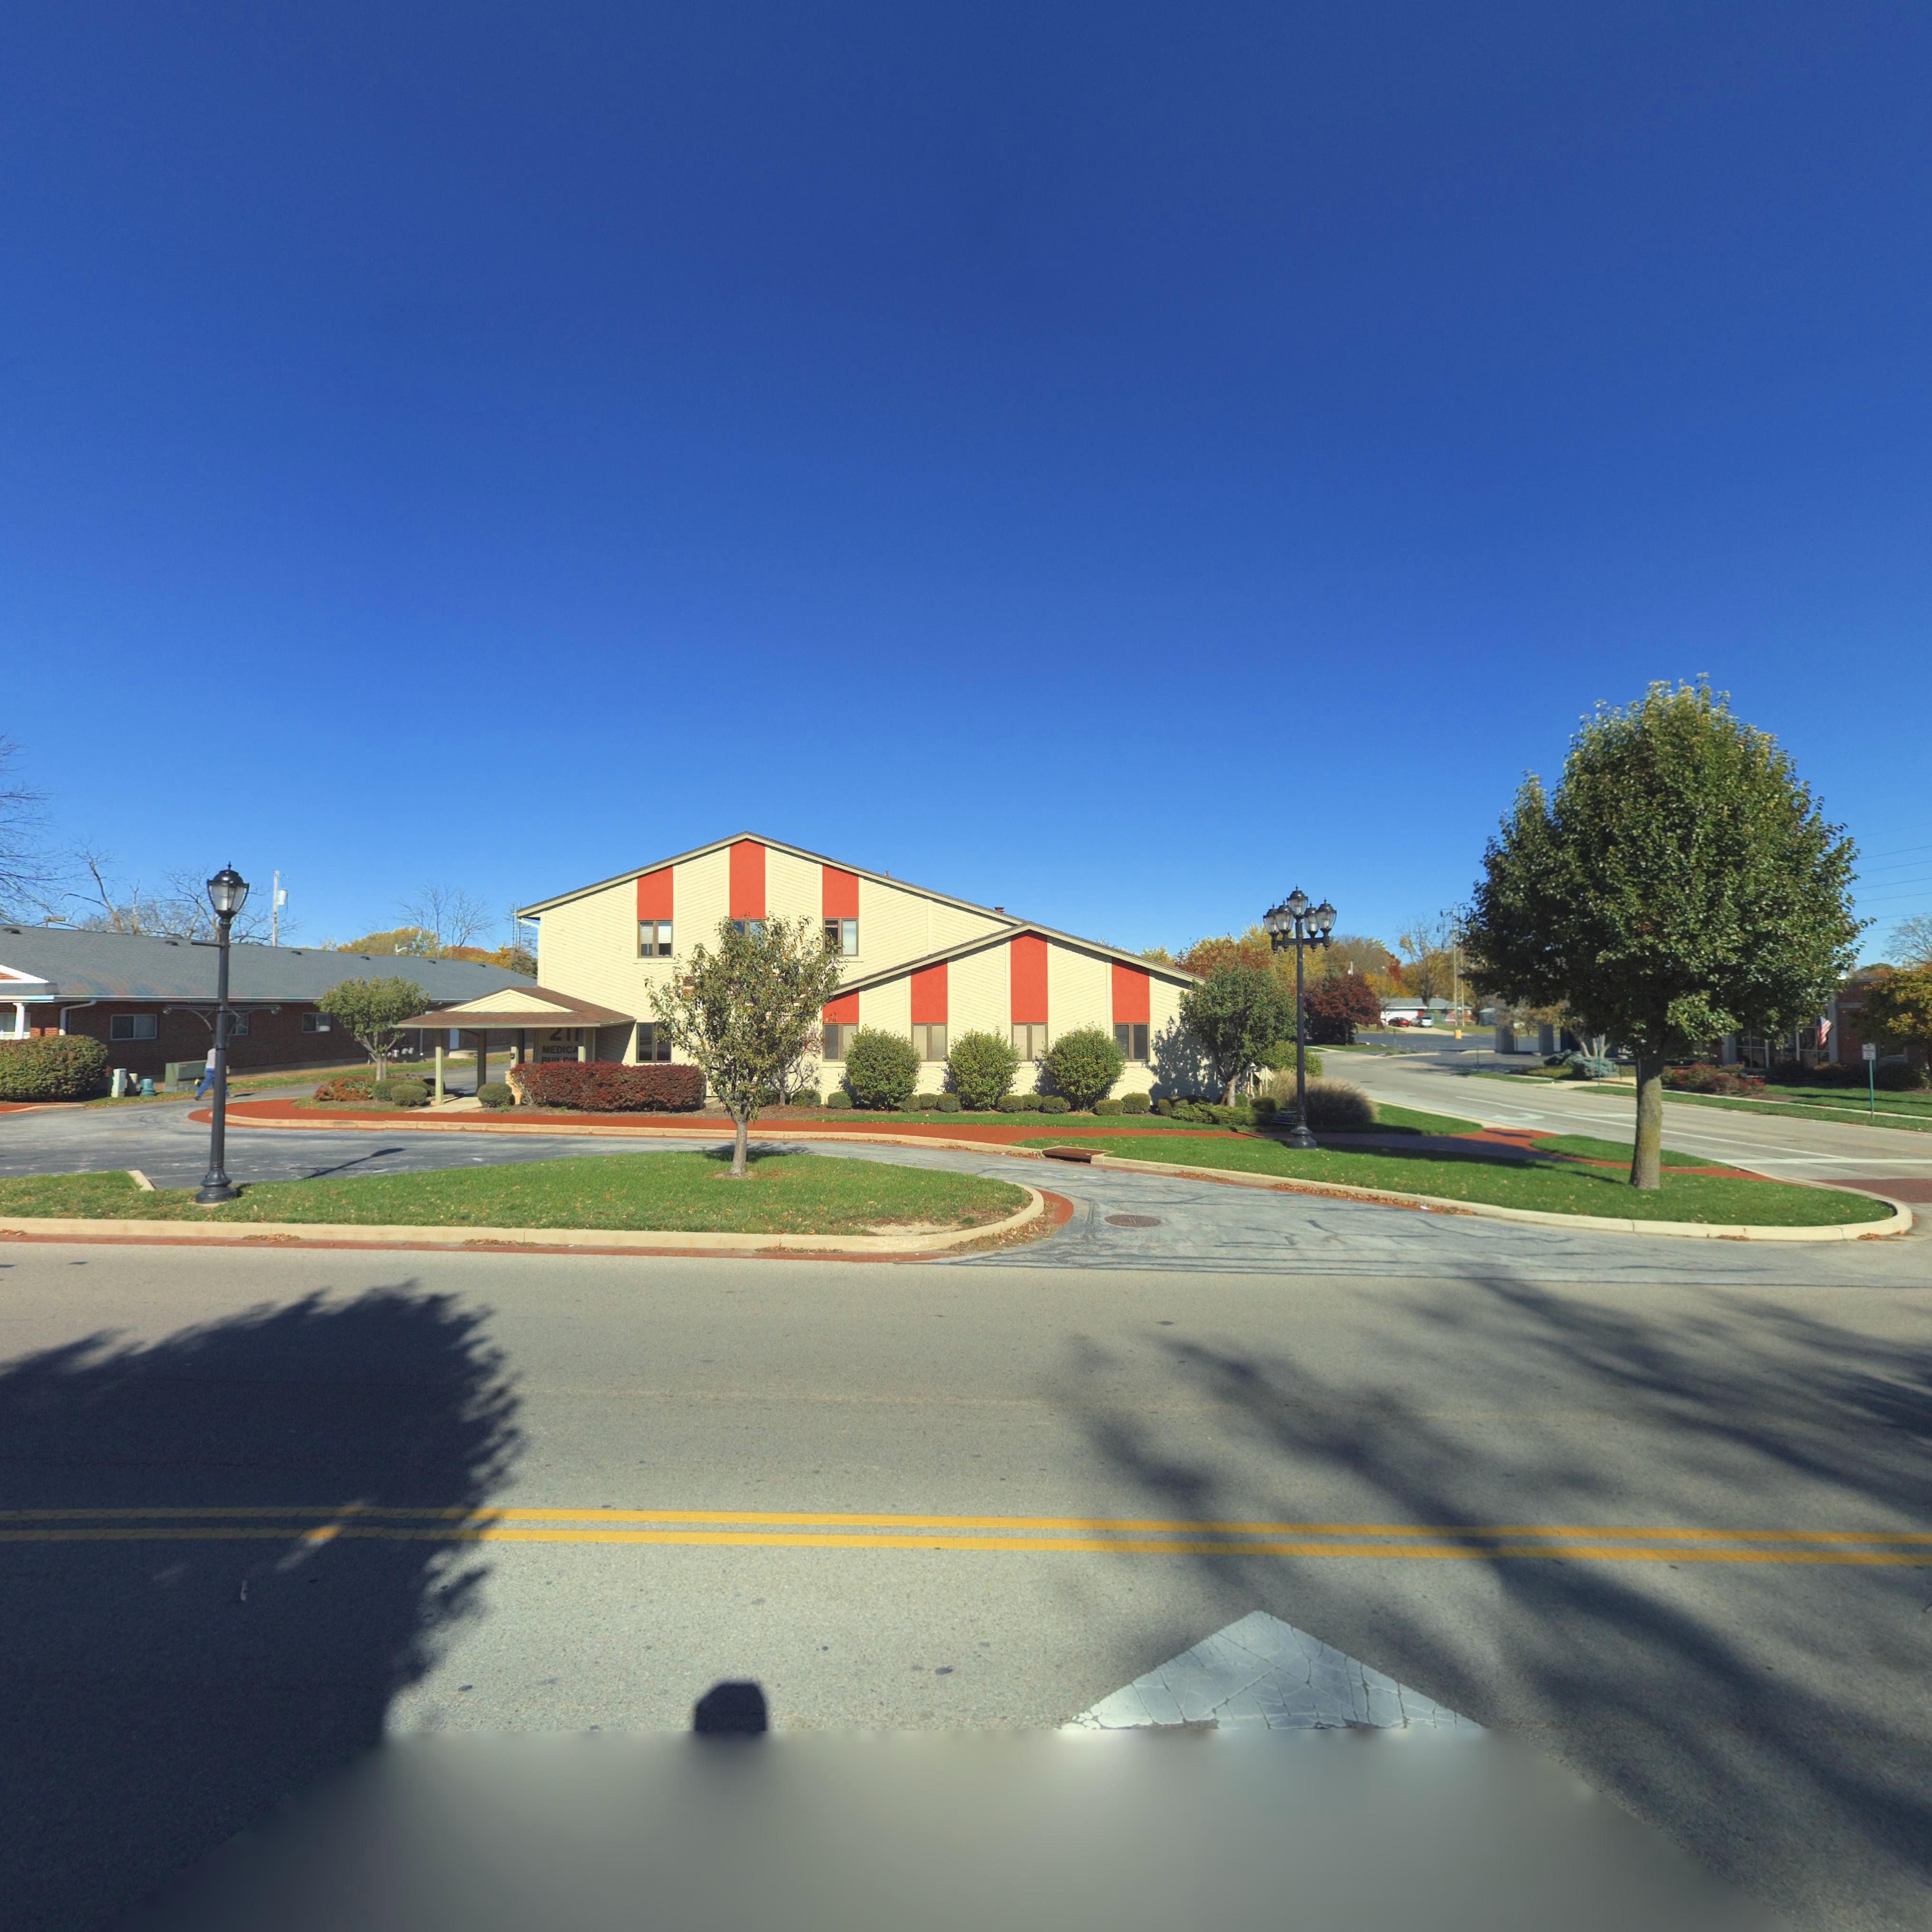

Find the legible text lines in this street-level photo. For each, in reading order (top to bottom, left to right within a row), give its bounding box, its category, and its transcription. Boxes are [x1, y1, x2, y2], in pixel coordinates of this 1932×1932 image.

[566, 1027, 579, 1041] StreetNumber: 1
[542, 1045, 573, 1054] None: MEDIC